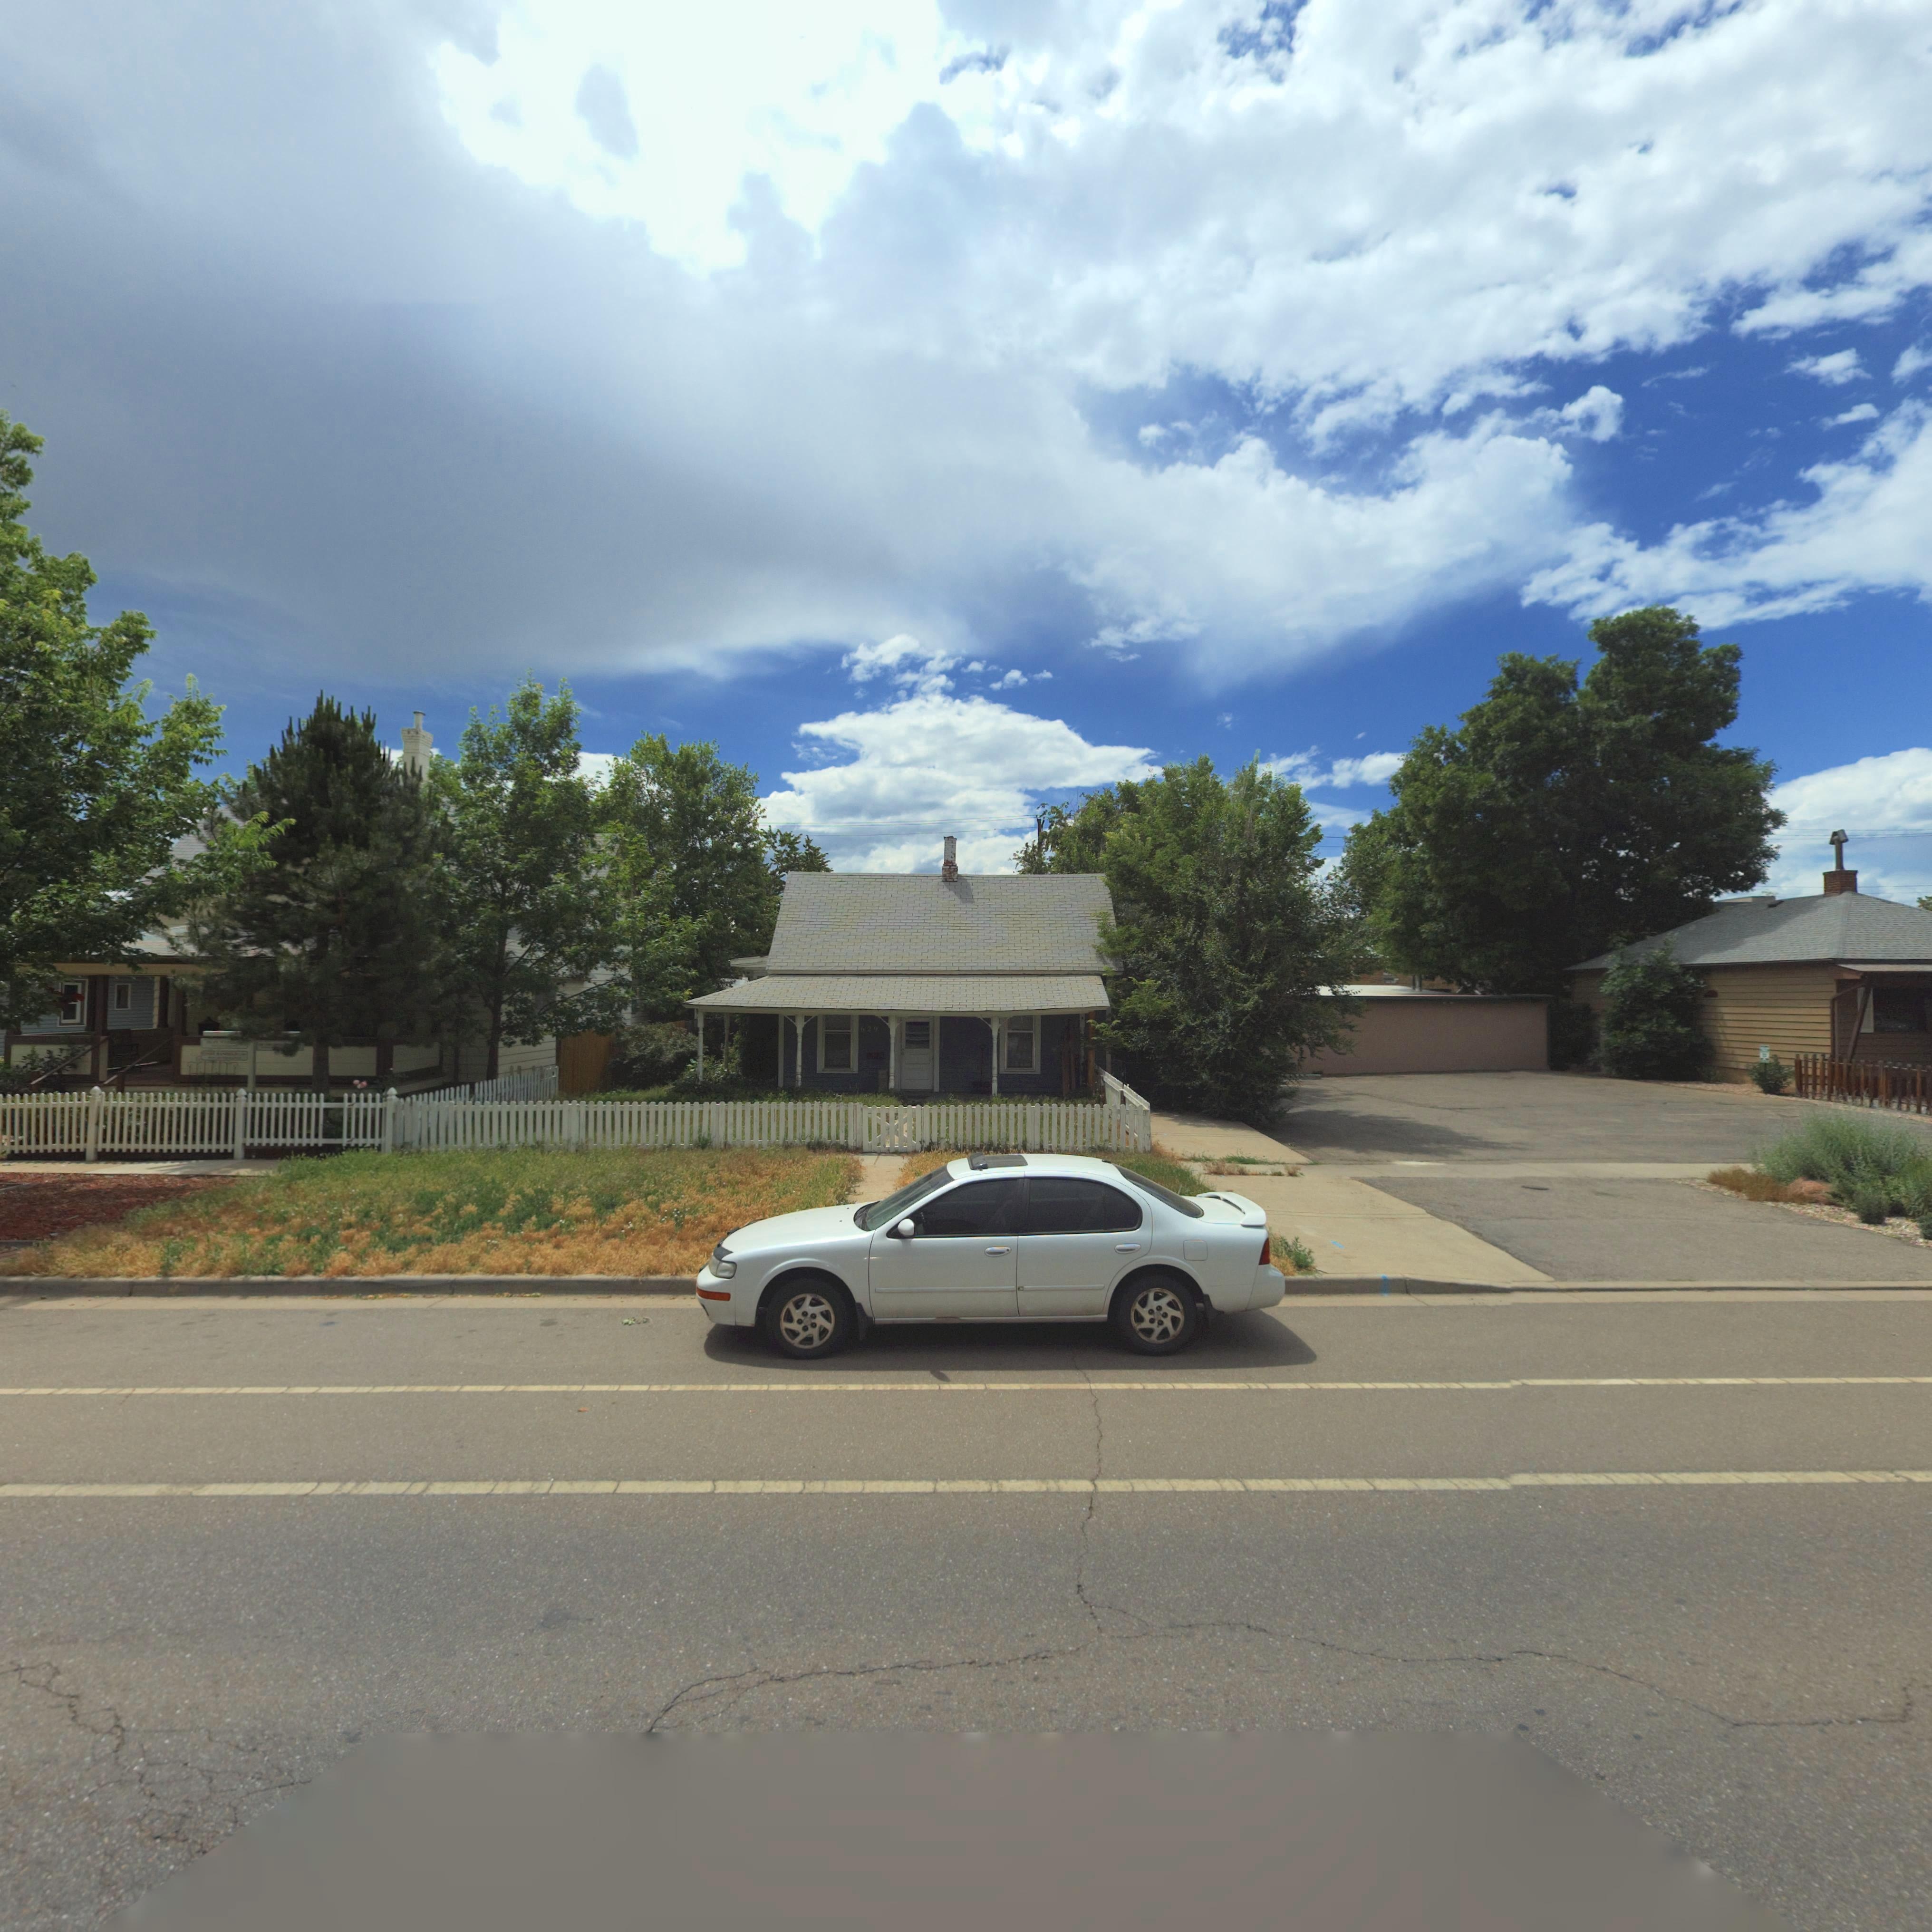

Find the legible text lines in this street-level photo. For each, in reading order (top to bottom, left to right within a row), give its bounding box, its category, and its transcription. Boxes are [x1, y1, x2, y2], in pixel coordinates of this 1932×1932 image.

[860, 1025, 878, 1033] StreetNumber: 629